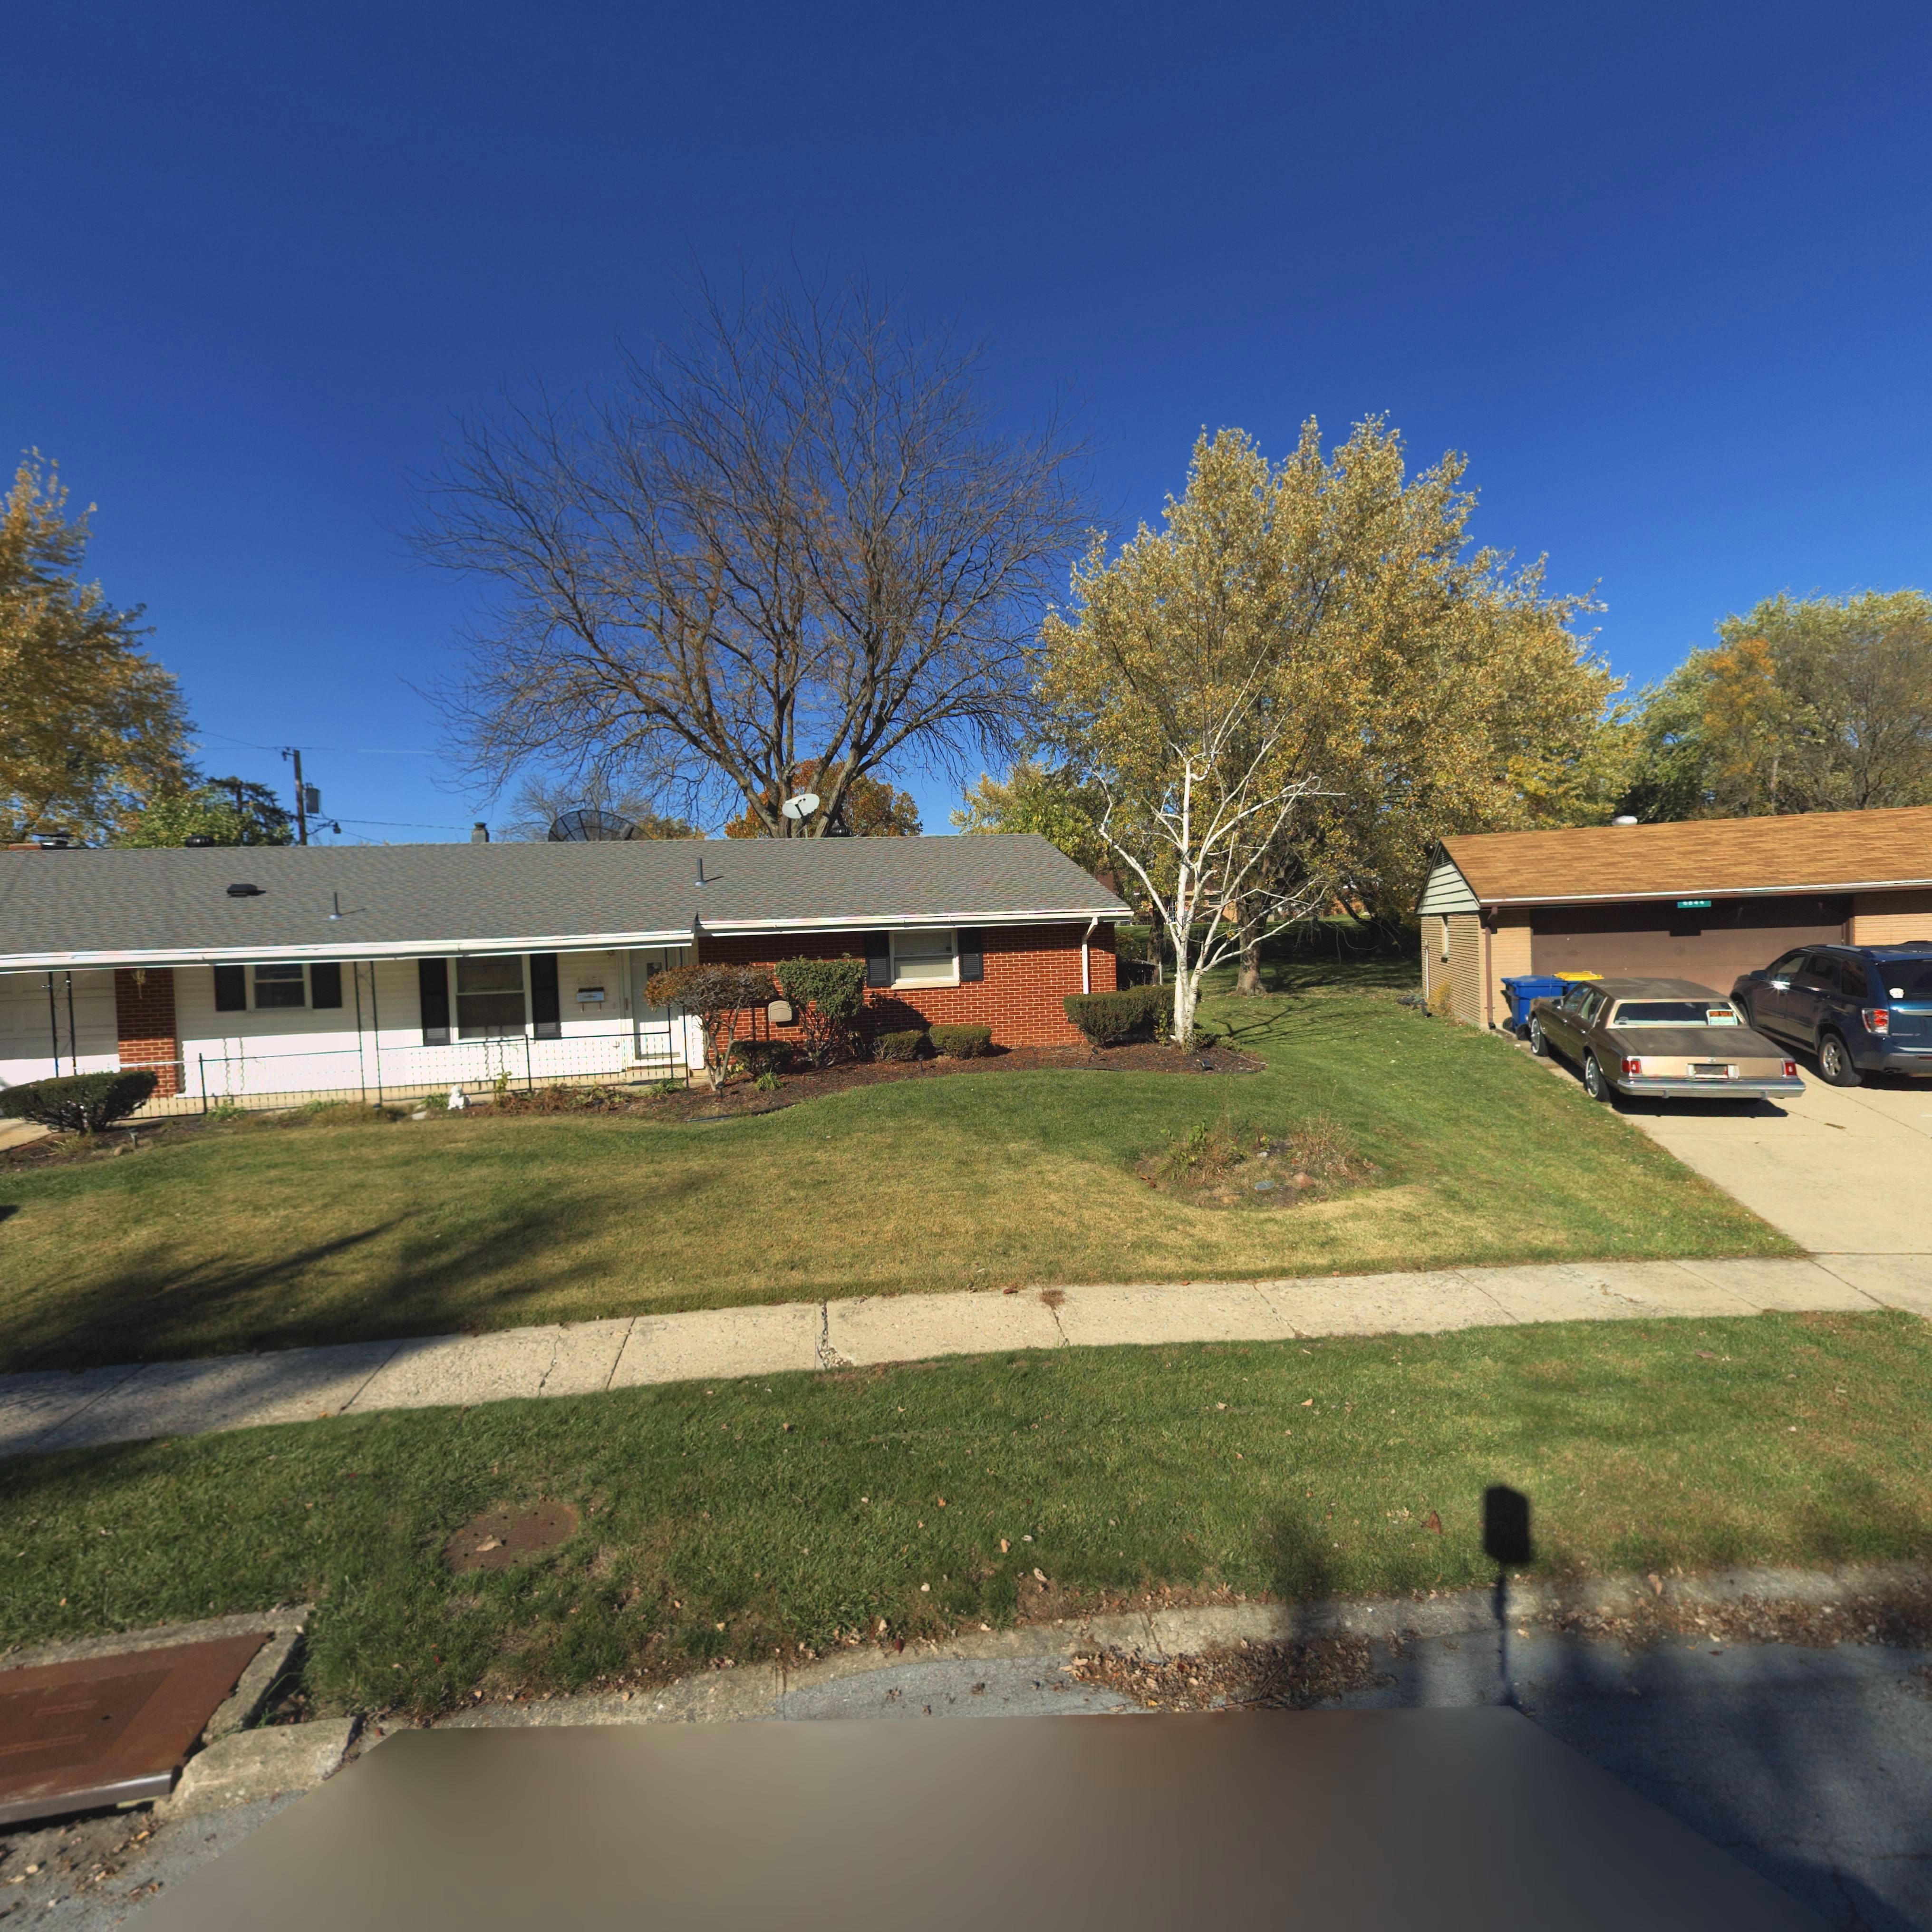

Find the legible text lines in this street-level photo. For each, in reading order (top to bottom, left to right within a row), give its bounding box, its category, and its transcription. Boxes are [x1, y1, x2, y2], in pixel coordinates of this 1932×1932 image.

[1682, 899, 1705, 906] StreetNumber: 6844
[575, 976, 604, 985] StreetNumber: 6850